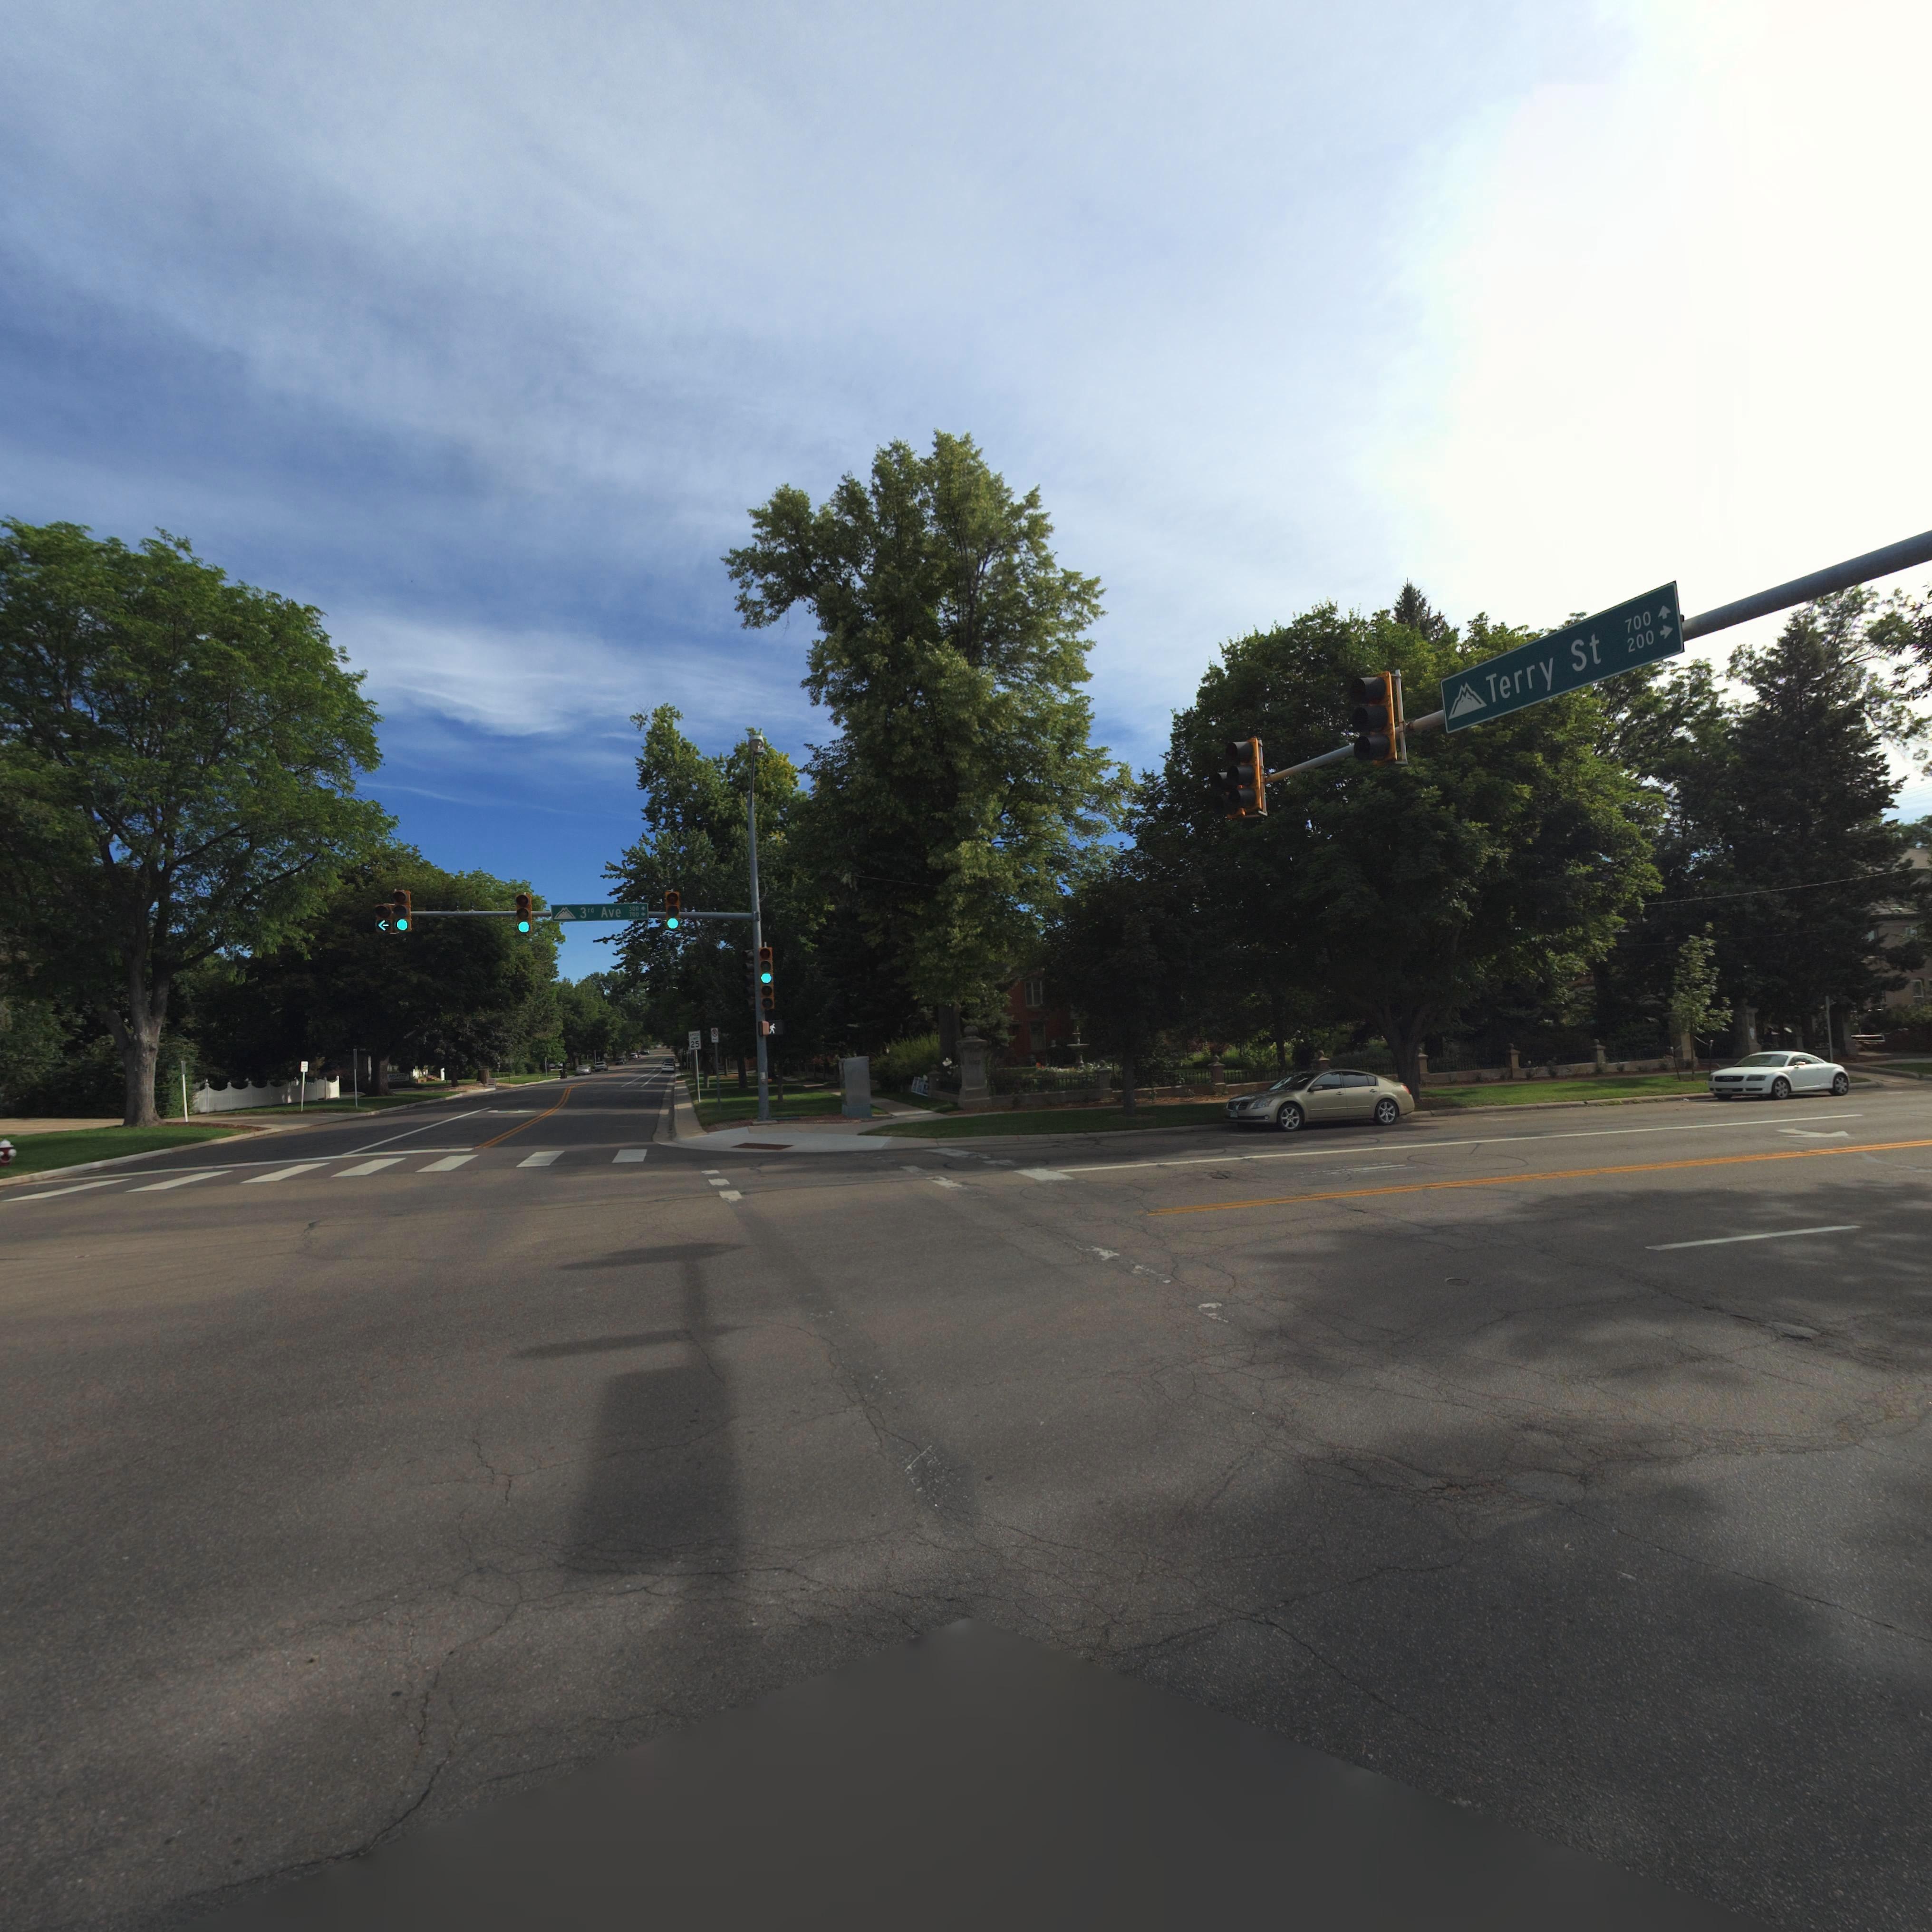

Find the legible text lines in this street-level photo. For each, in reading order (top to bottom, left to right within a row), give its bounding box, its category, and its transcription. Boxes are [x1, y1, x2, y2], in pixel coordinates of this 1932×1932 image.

[1624, 609, 1651, 634] StreetNumberRange: 700
[1625, 624, 1675, 653] StreetNumberRange: 200->
[1484, 633, 1604, 703] StreetName: Terry St
[580, 906, 621, 919] StreetName: 3rd Ave
[628, 905, 639, 911] StreetNumberRange: 300
[628, 911, 646, 917] StreetNumberRange: 700->